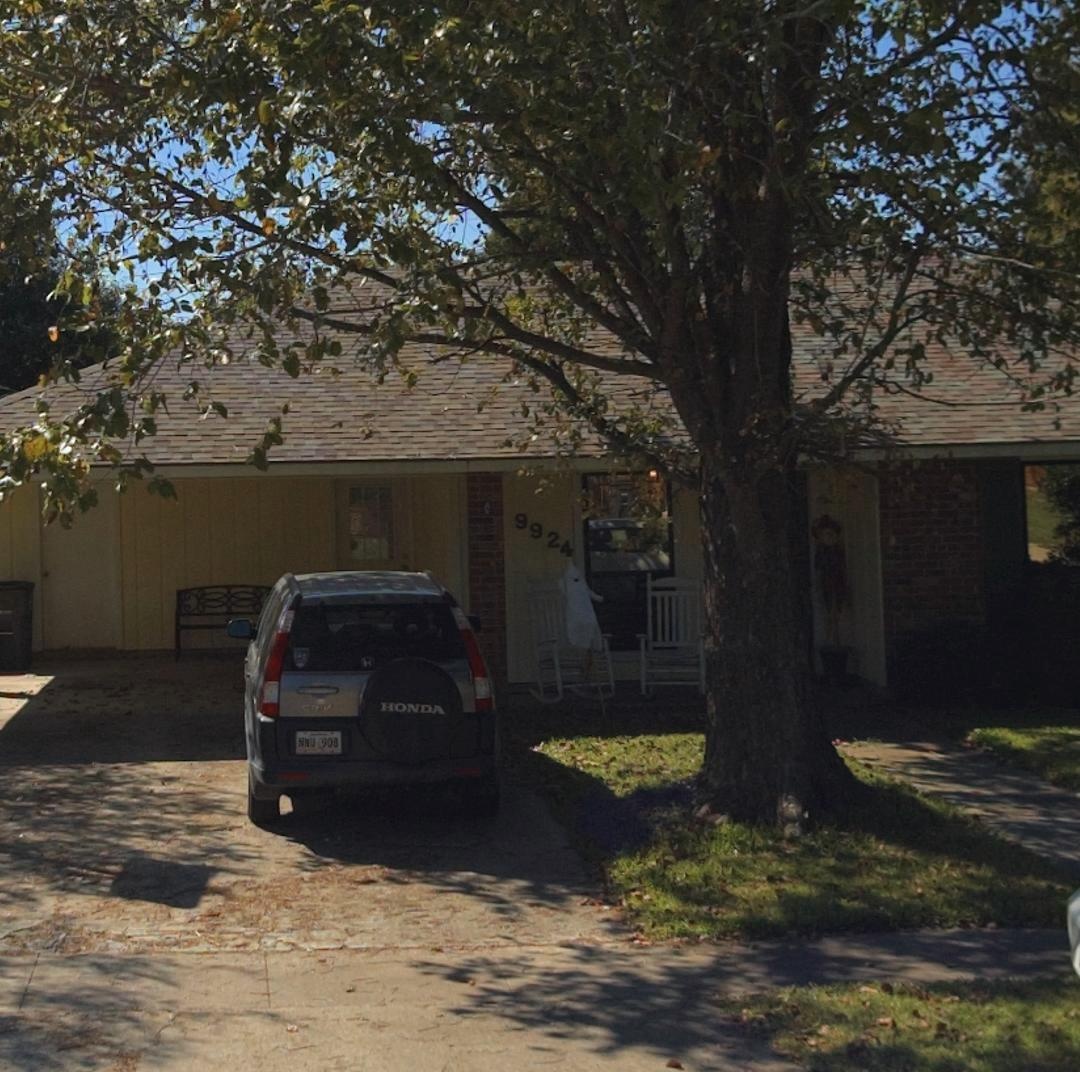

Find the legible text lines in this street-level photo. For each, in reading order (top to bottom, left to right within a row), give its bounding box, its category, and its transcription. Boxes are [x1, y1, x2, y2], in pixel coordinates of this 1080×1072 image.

[513, 513, 573, 563] StreetNumber: 9924
[301, 704, 335, 712] None: CR-V
[379, 701, 446, 715] None: HONDA
[320, 736, 340, 748] None: 908